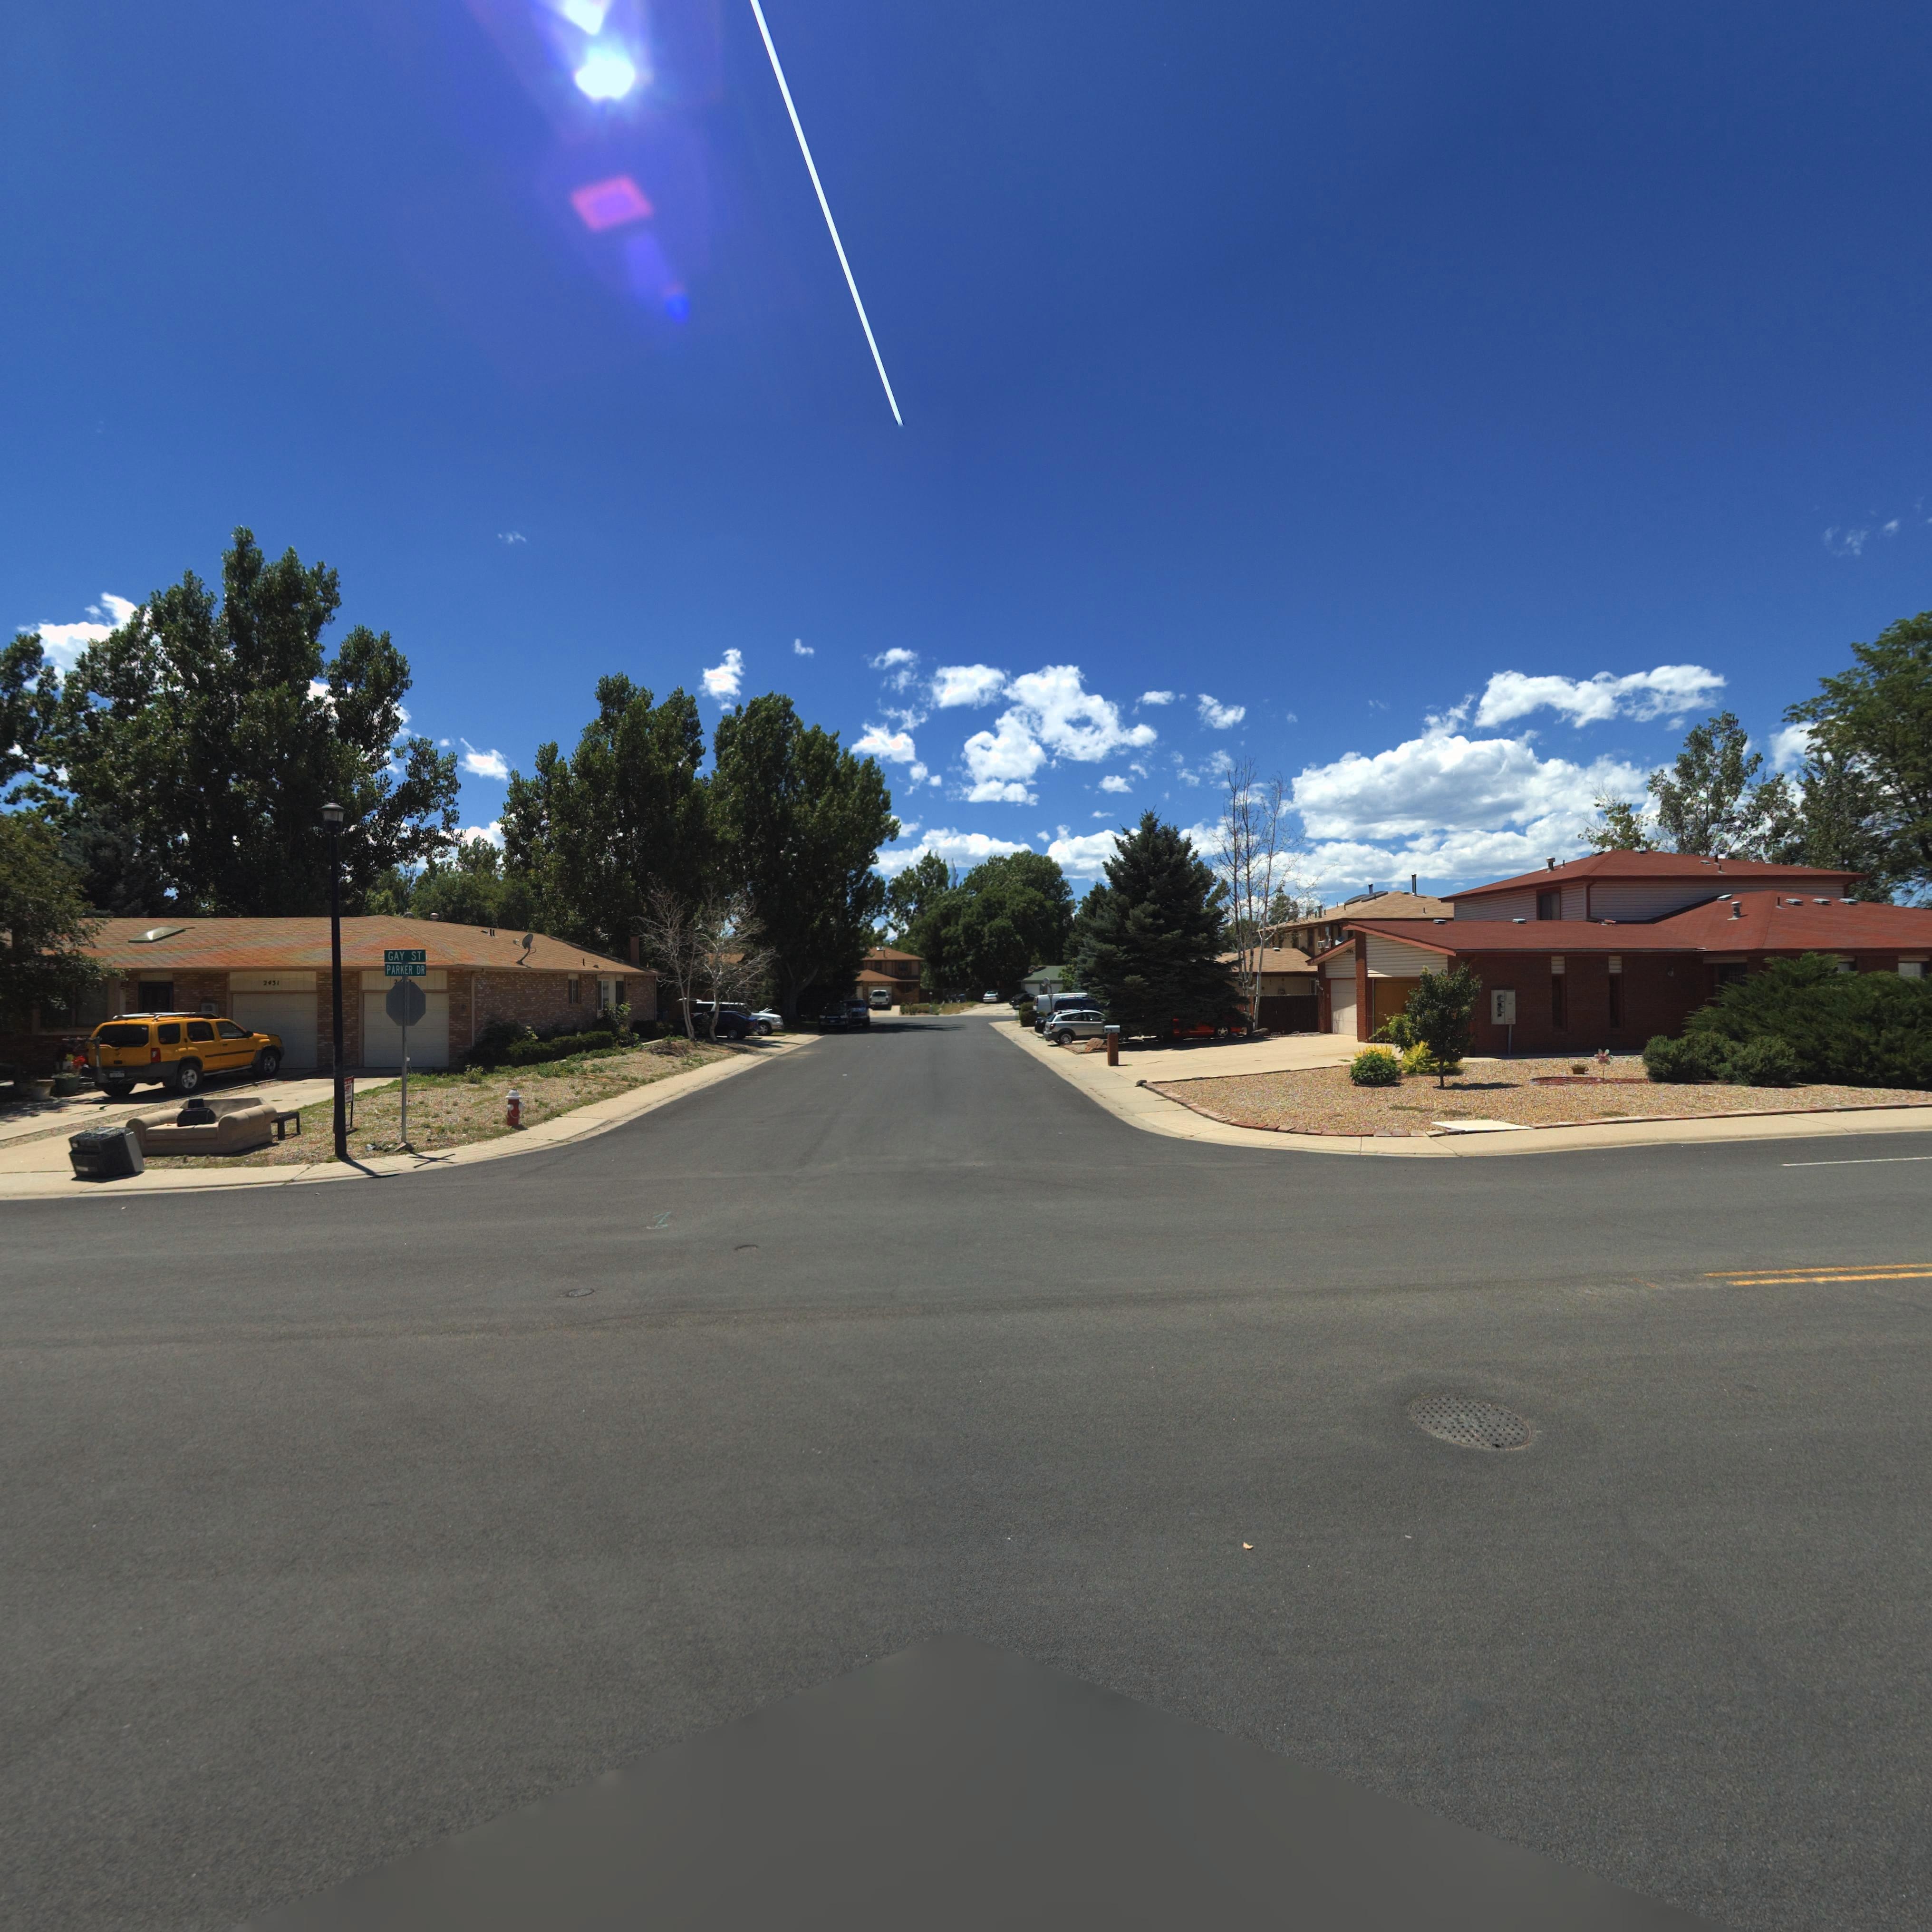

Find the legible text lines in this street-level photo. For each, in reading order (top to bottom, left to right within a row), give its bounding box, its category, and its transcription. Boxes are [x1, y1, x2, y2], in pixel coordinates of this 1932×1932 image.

[387, 950, 422, 961] StreetName: GAY ST
[386, 965, 425, 975] StreetName: PARKER DR
[262, 979, 280, 986] StreetNumber: 2431